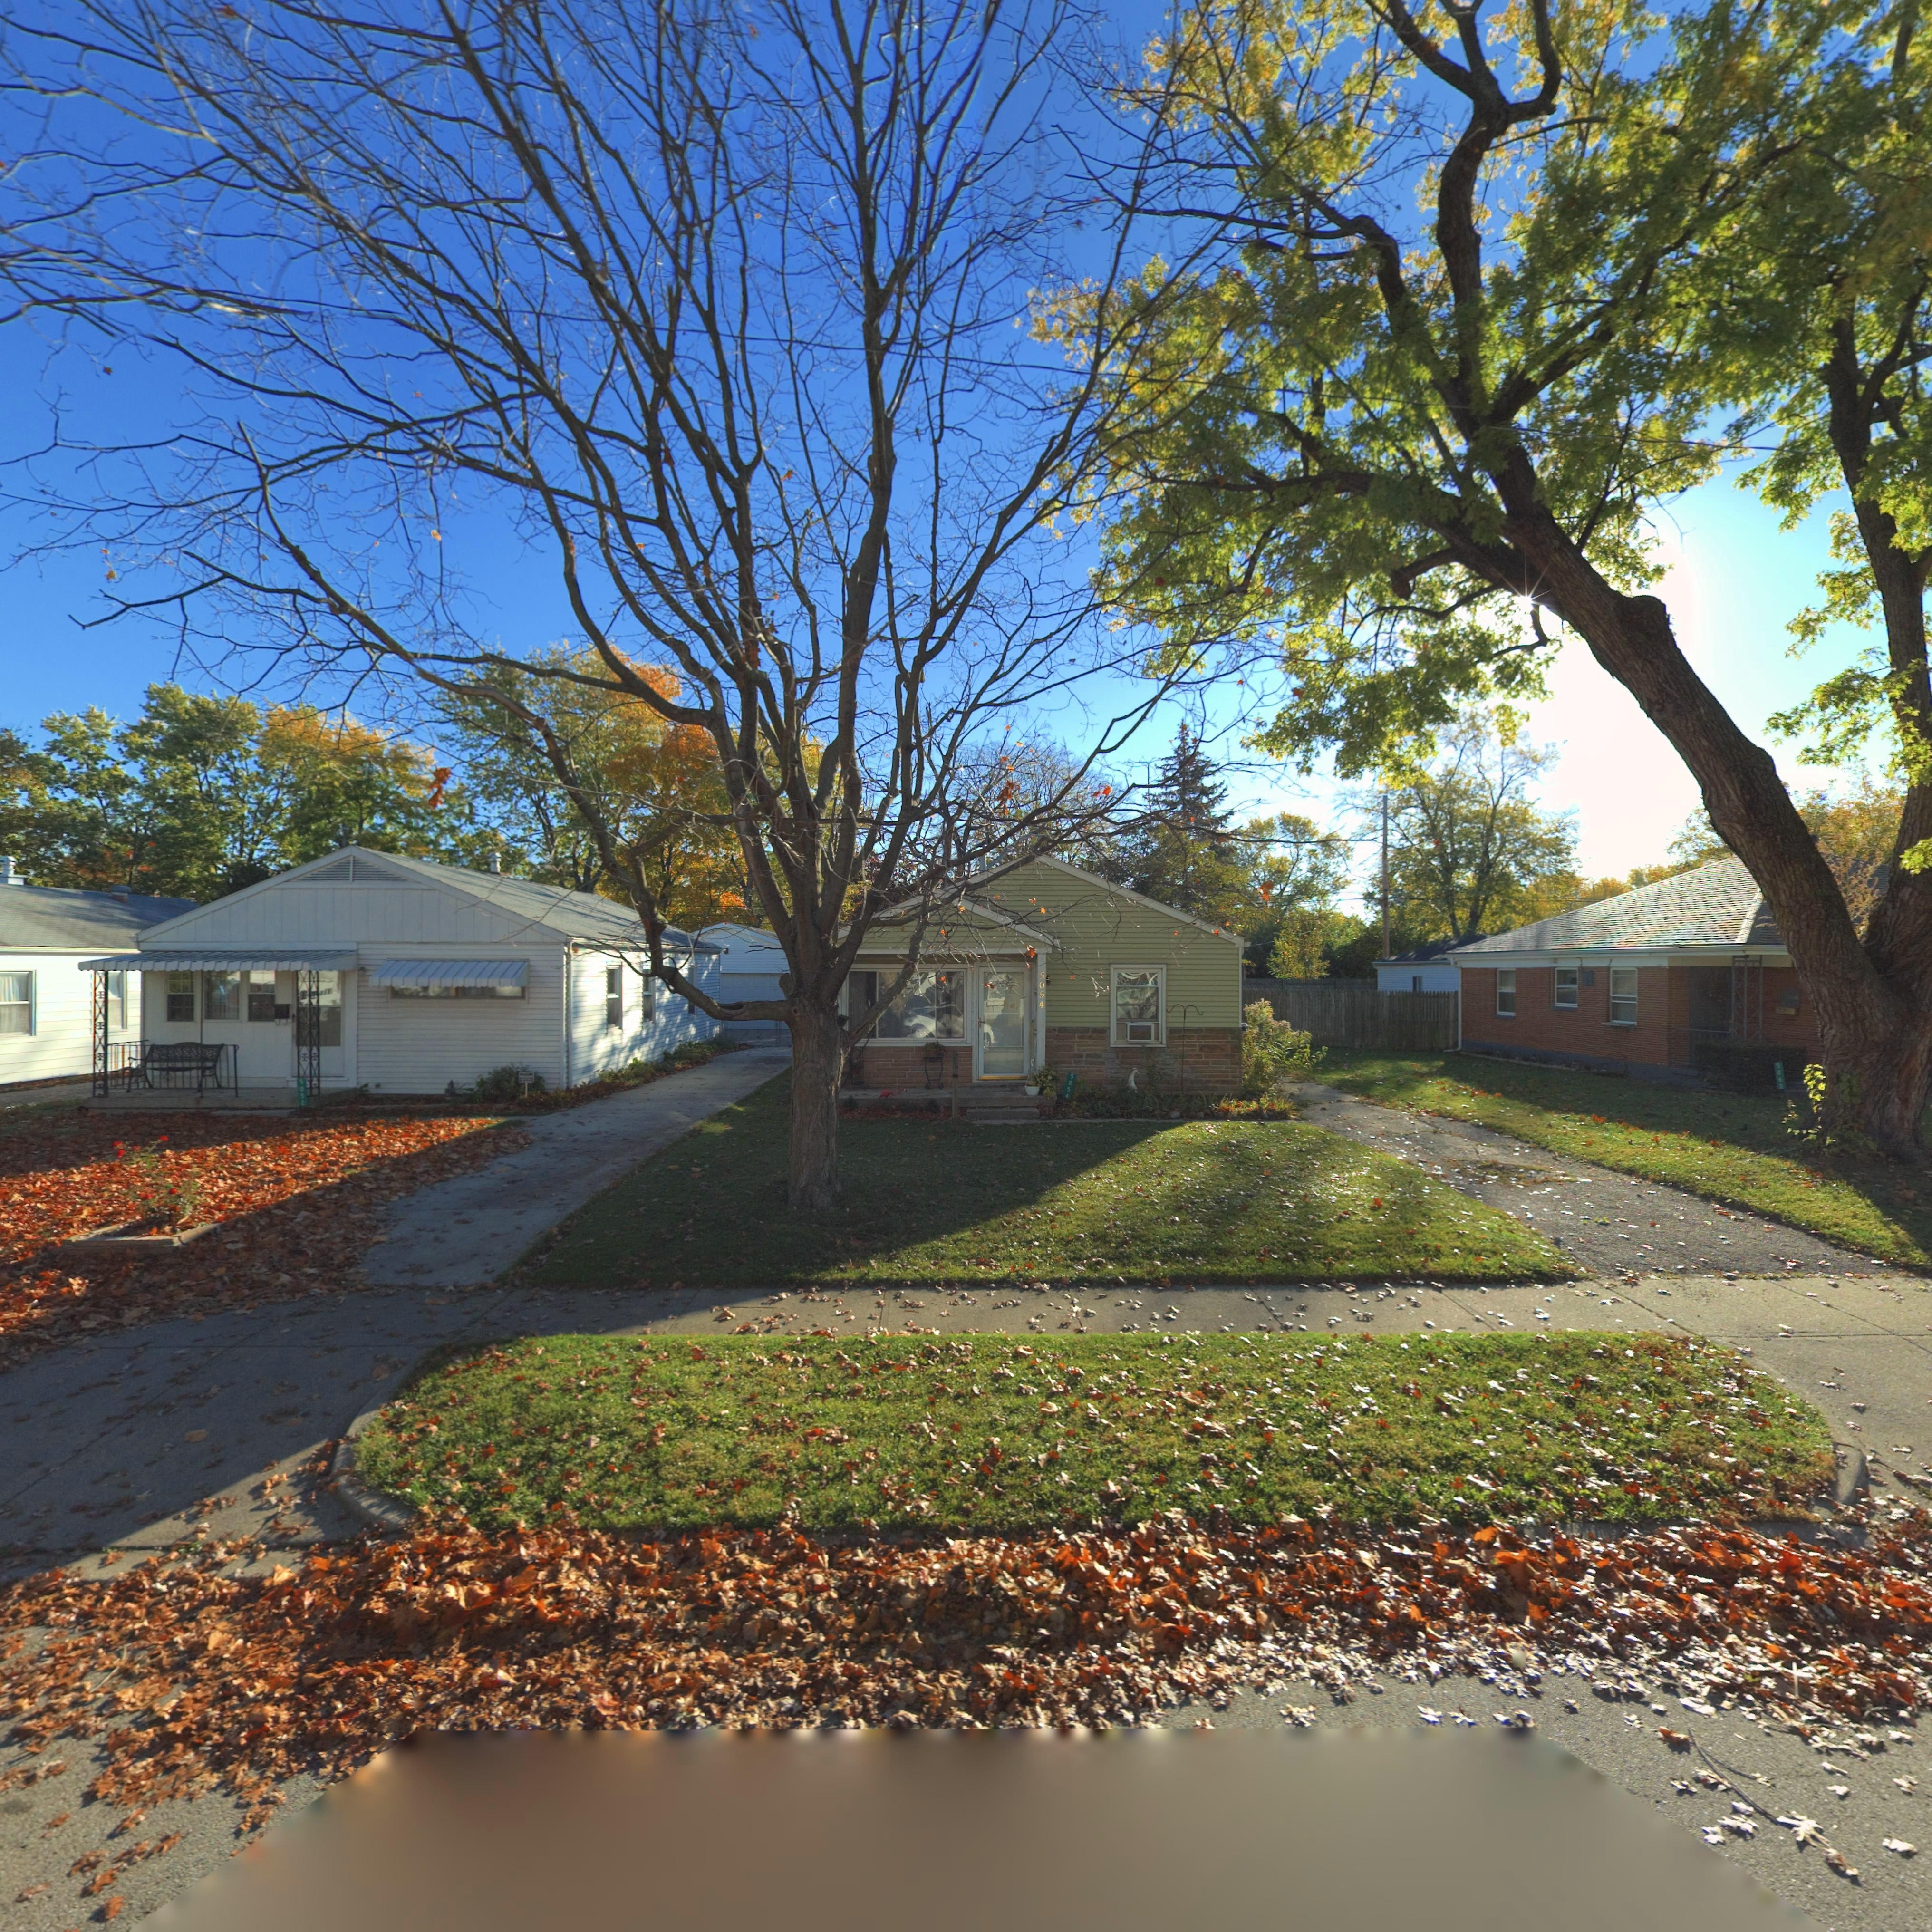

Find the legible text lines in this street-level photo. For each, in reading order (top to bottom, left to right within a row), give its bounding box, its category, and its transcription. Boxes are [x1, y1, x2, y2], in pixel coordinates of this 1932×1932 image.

[1038, 971, 1046, 1009] StreetNumber: 5054
[1064, 1072, 1075, 1100] StreetNumber: 5054
[1775, 1062, 1785, 1090] StreetNumber: 5060